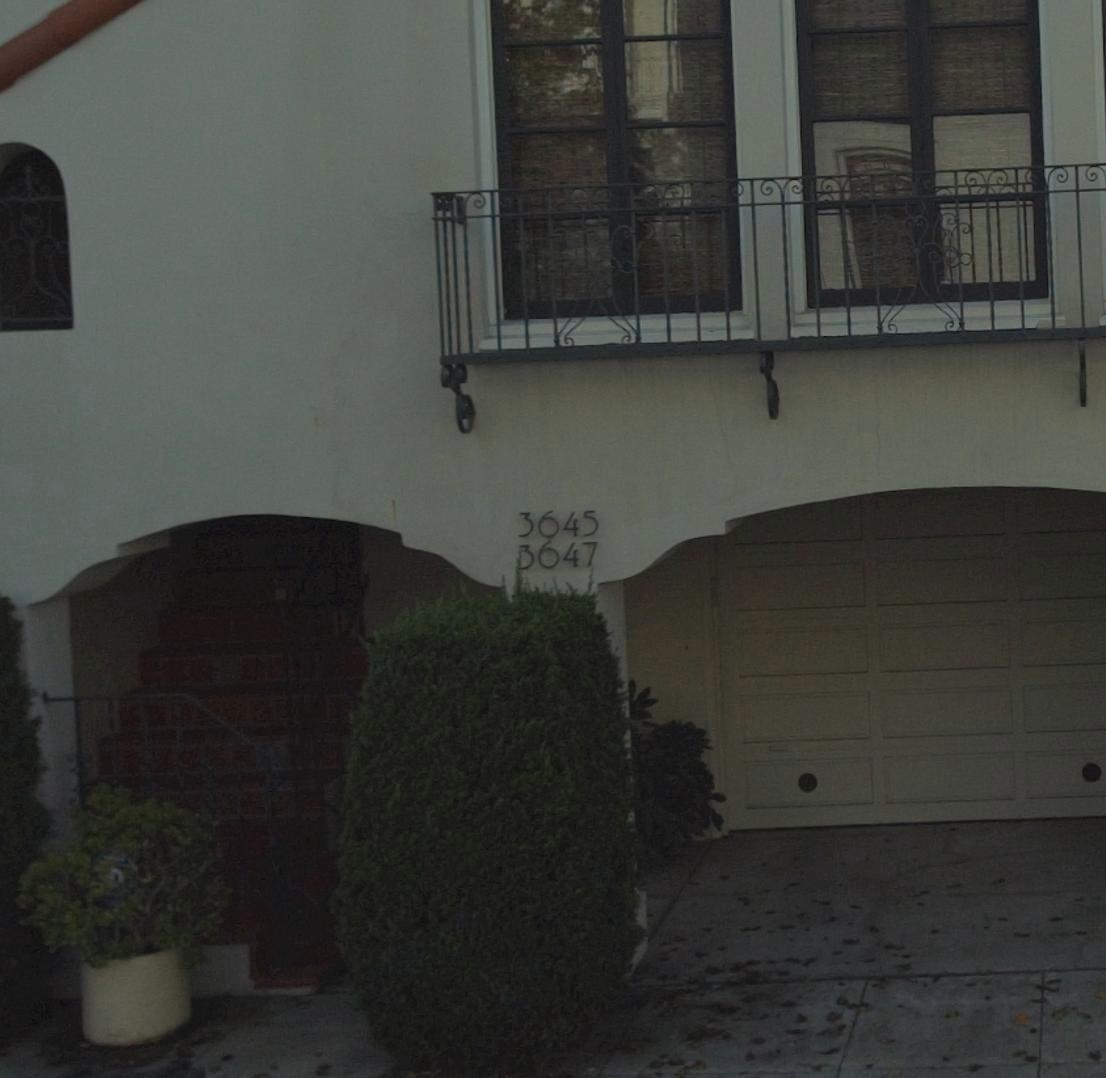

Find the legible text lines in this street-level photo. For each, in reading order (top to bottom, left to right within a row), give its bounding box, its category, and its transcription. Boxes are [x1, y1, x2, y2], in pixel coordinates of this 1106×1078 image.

[515, 507, 601, 540] StreetNumber: 3645
[513, 539, 602, 573] StreetNumber: 3647